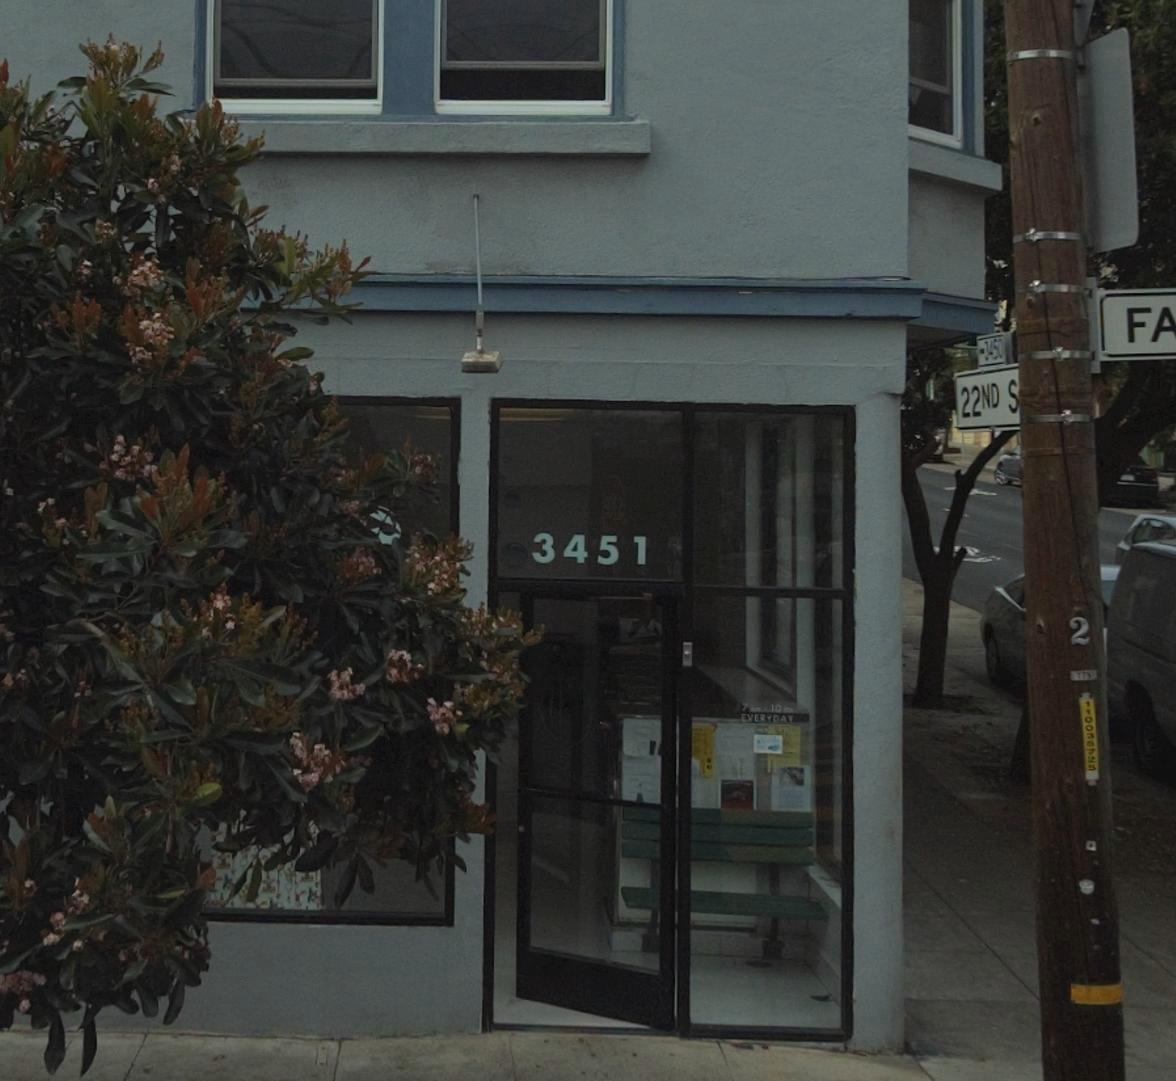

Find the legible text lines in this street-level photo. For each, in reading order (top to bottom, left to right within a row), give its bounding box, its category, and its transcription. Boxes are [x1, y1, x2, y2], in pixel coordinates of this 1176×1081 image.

[1123, 305, 1156, 347] StreetName: F
[976, 337, 1004, 363] StreetNumberRange: <-3450
[959, 376, 1020, 419] StreetName: 22ND S
[530, 529, 649, 567] StreetNumber: 3451
[1066, 616, 1094, 648] None: 2
[1075, 670, 1093, 681] None: 175
[740, 701, 749, 712] None: 7
[740, 712, 794, 723] None: EVERYDAY
[769, 703, 783, 714] None: 10
[1082, 699, 1097, 772] None: 110036725